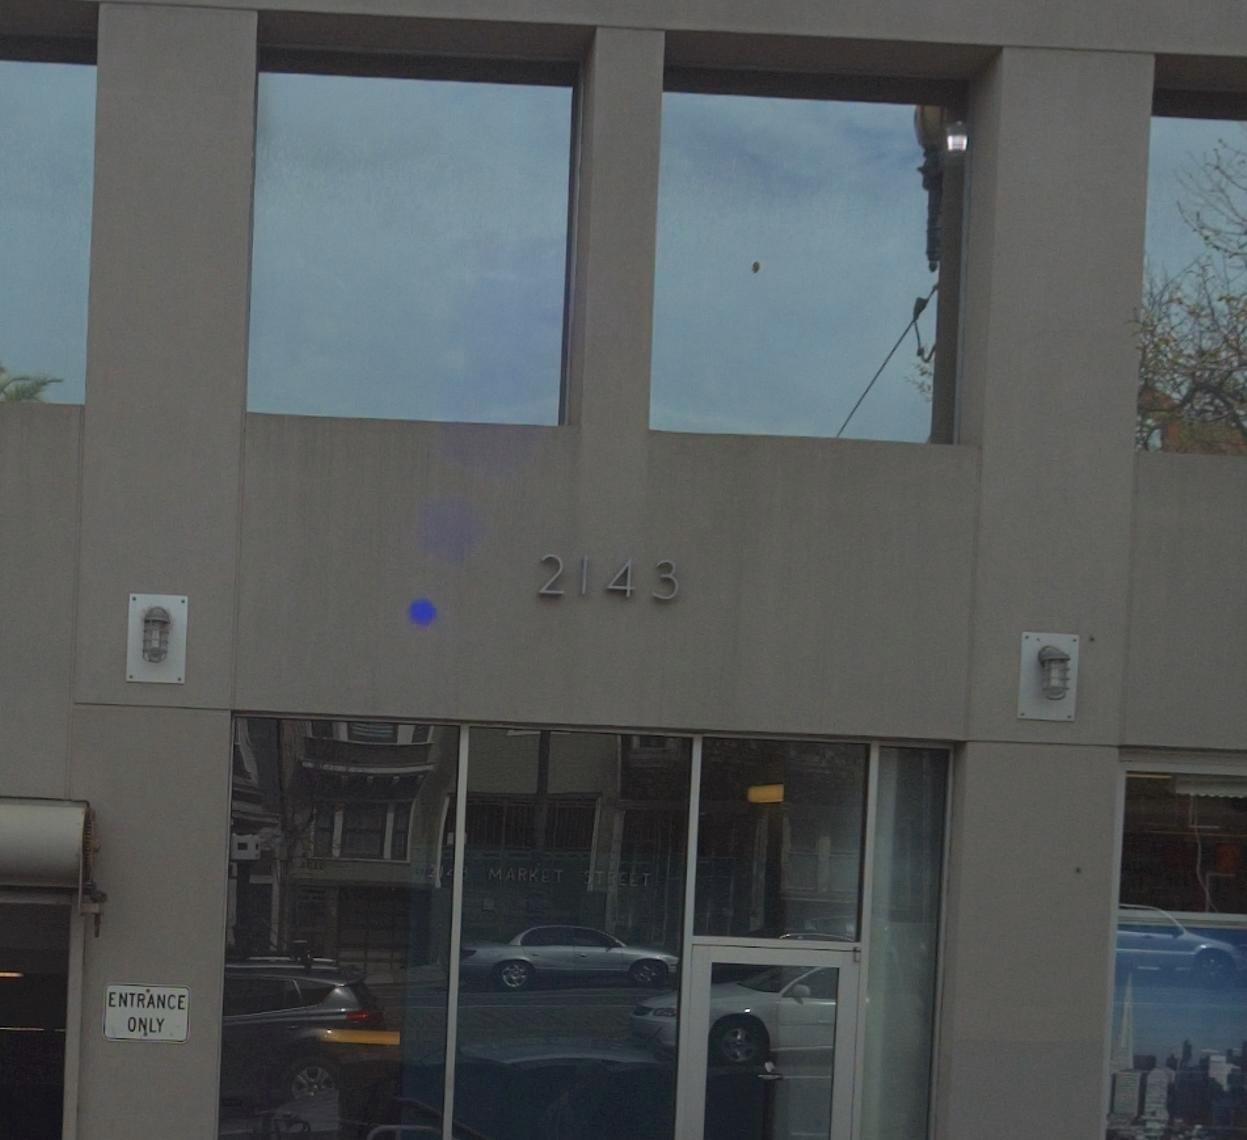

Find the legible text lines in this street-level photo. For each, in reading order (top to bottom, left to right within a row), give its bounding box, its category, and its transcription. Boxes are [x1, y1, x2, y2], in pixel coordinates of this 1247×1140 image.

[536, 552, 683, 604] StreetNumber: 2143
[426, 862, 438, 880] StreetNumber: 2
[486, 864, 655, 889] StreetName: MARKET STREET
[106, 989, 188, 1013] None: ENTRANCE
[125, 1015, 169, 1036] None: ONLY